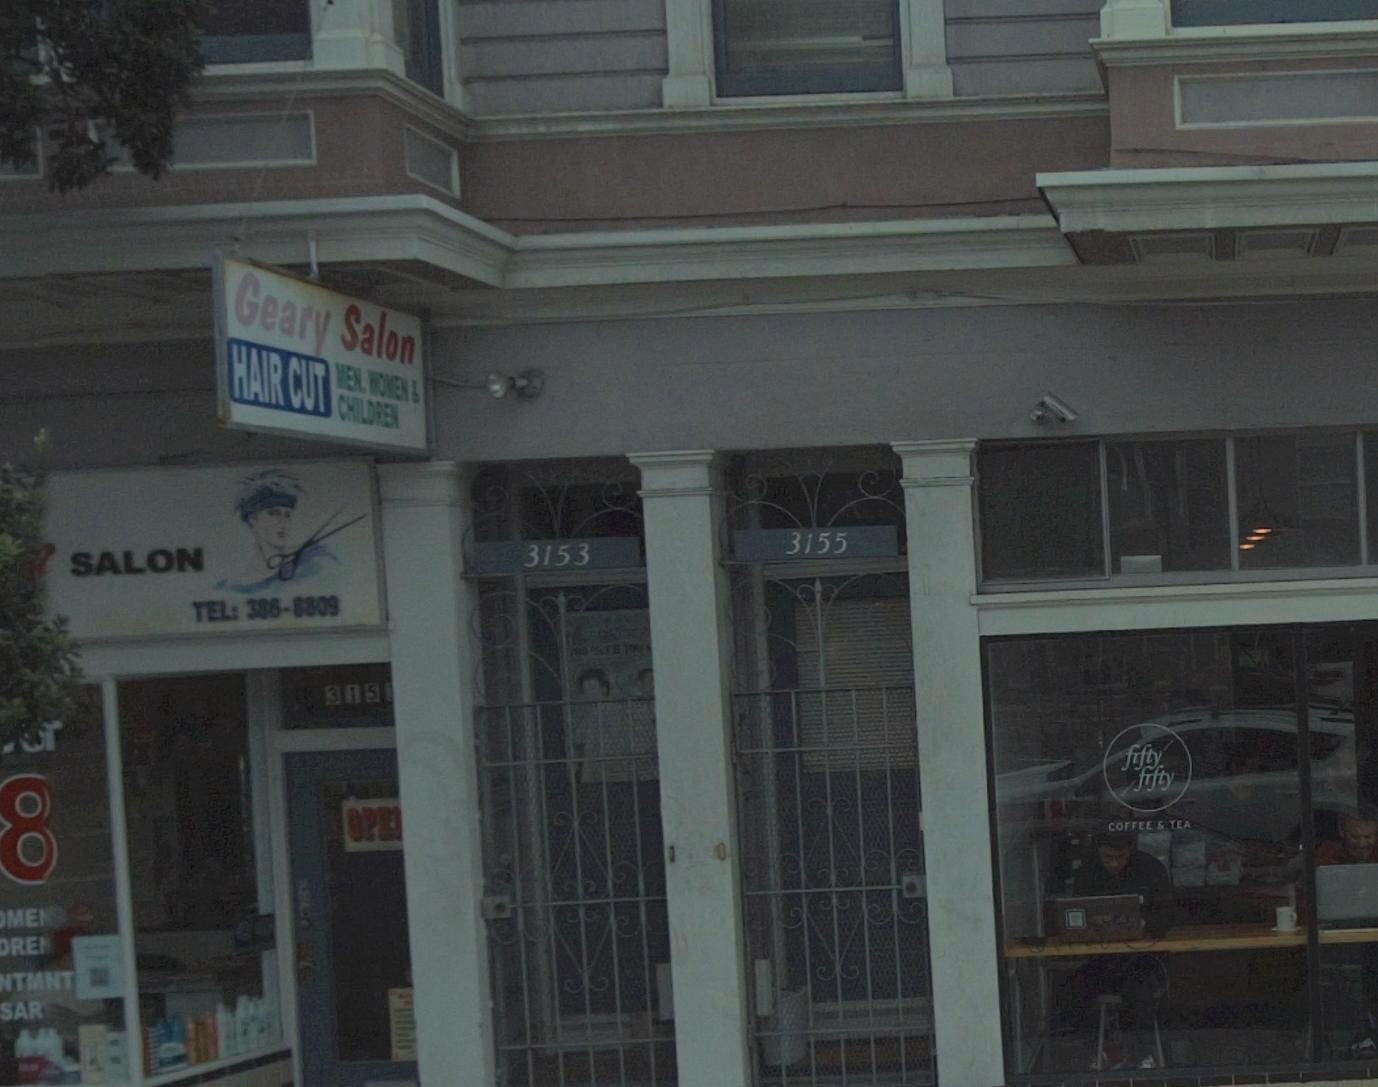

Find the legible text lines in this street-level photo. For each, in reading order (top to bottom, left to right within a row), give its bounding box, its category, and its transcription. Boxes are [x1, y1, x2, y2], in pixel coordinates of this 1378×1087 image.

[229, 267, 419, 366] BusinessName: Geary Salon
[230, 338, 328, 415] None: HAIR CUT
[334, 359, 421, 406] None: MEN, WOMEN &
[336, 392, 400, 431] None: CHILDREN
[68, 544, 206, 580] BusinessName: SALON
[521, 540, 591, 569] StreetNumber: 3153
[783, 529, 849, 557] StreetNumber: 3155
[189, 592, 341, 626] None: TEL: 386-8809
[325, 682, 380, 706] None: 315
[1120, 742, 1164, 772] BusinessName: fifty
[1132, 764, 1176, 793] BusinessName: fifty
[0, 771, 61, 888] None: 8
[344, 803, 395, 843] None: OPE
[1107, 818, 1192, 833] BusinessName: COFFEE & TEA
[5, 906, 46, 929] None: MEI
[9, 934, 40, 957] None: RE
[8, 968, 78, 995] None: TMNT
[0, 998, 46, 1023] None: SAR